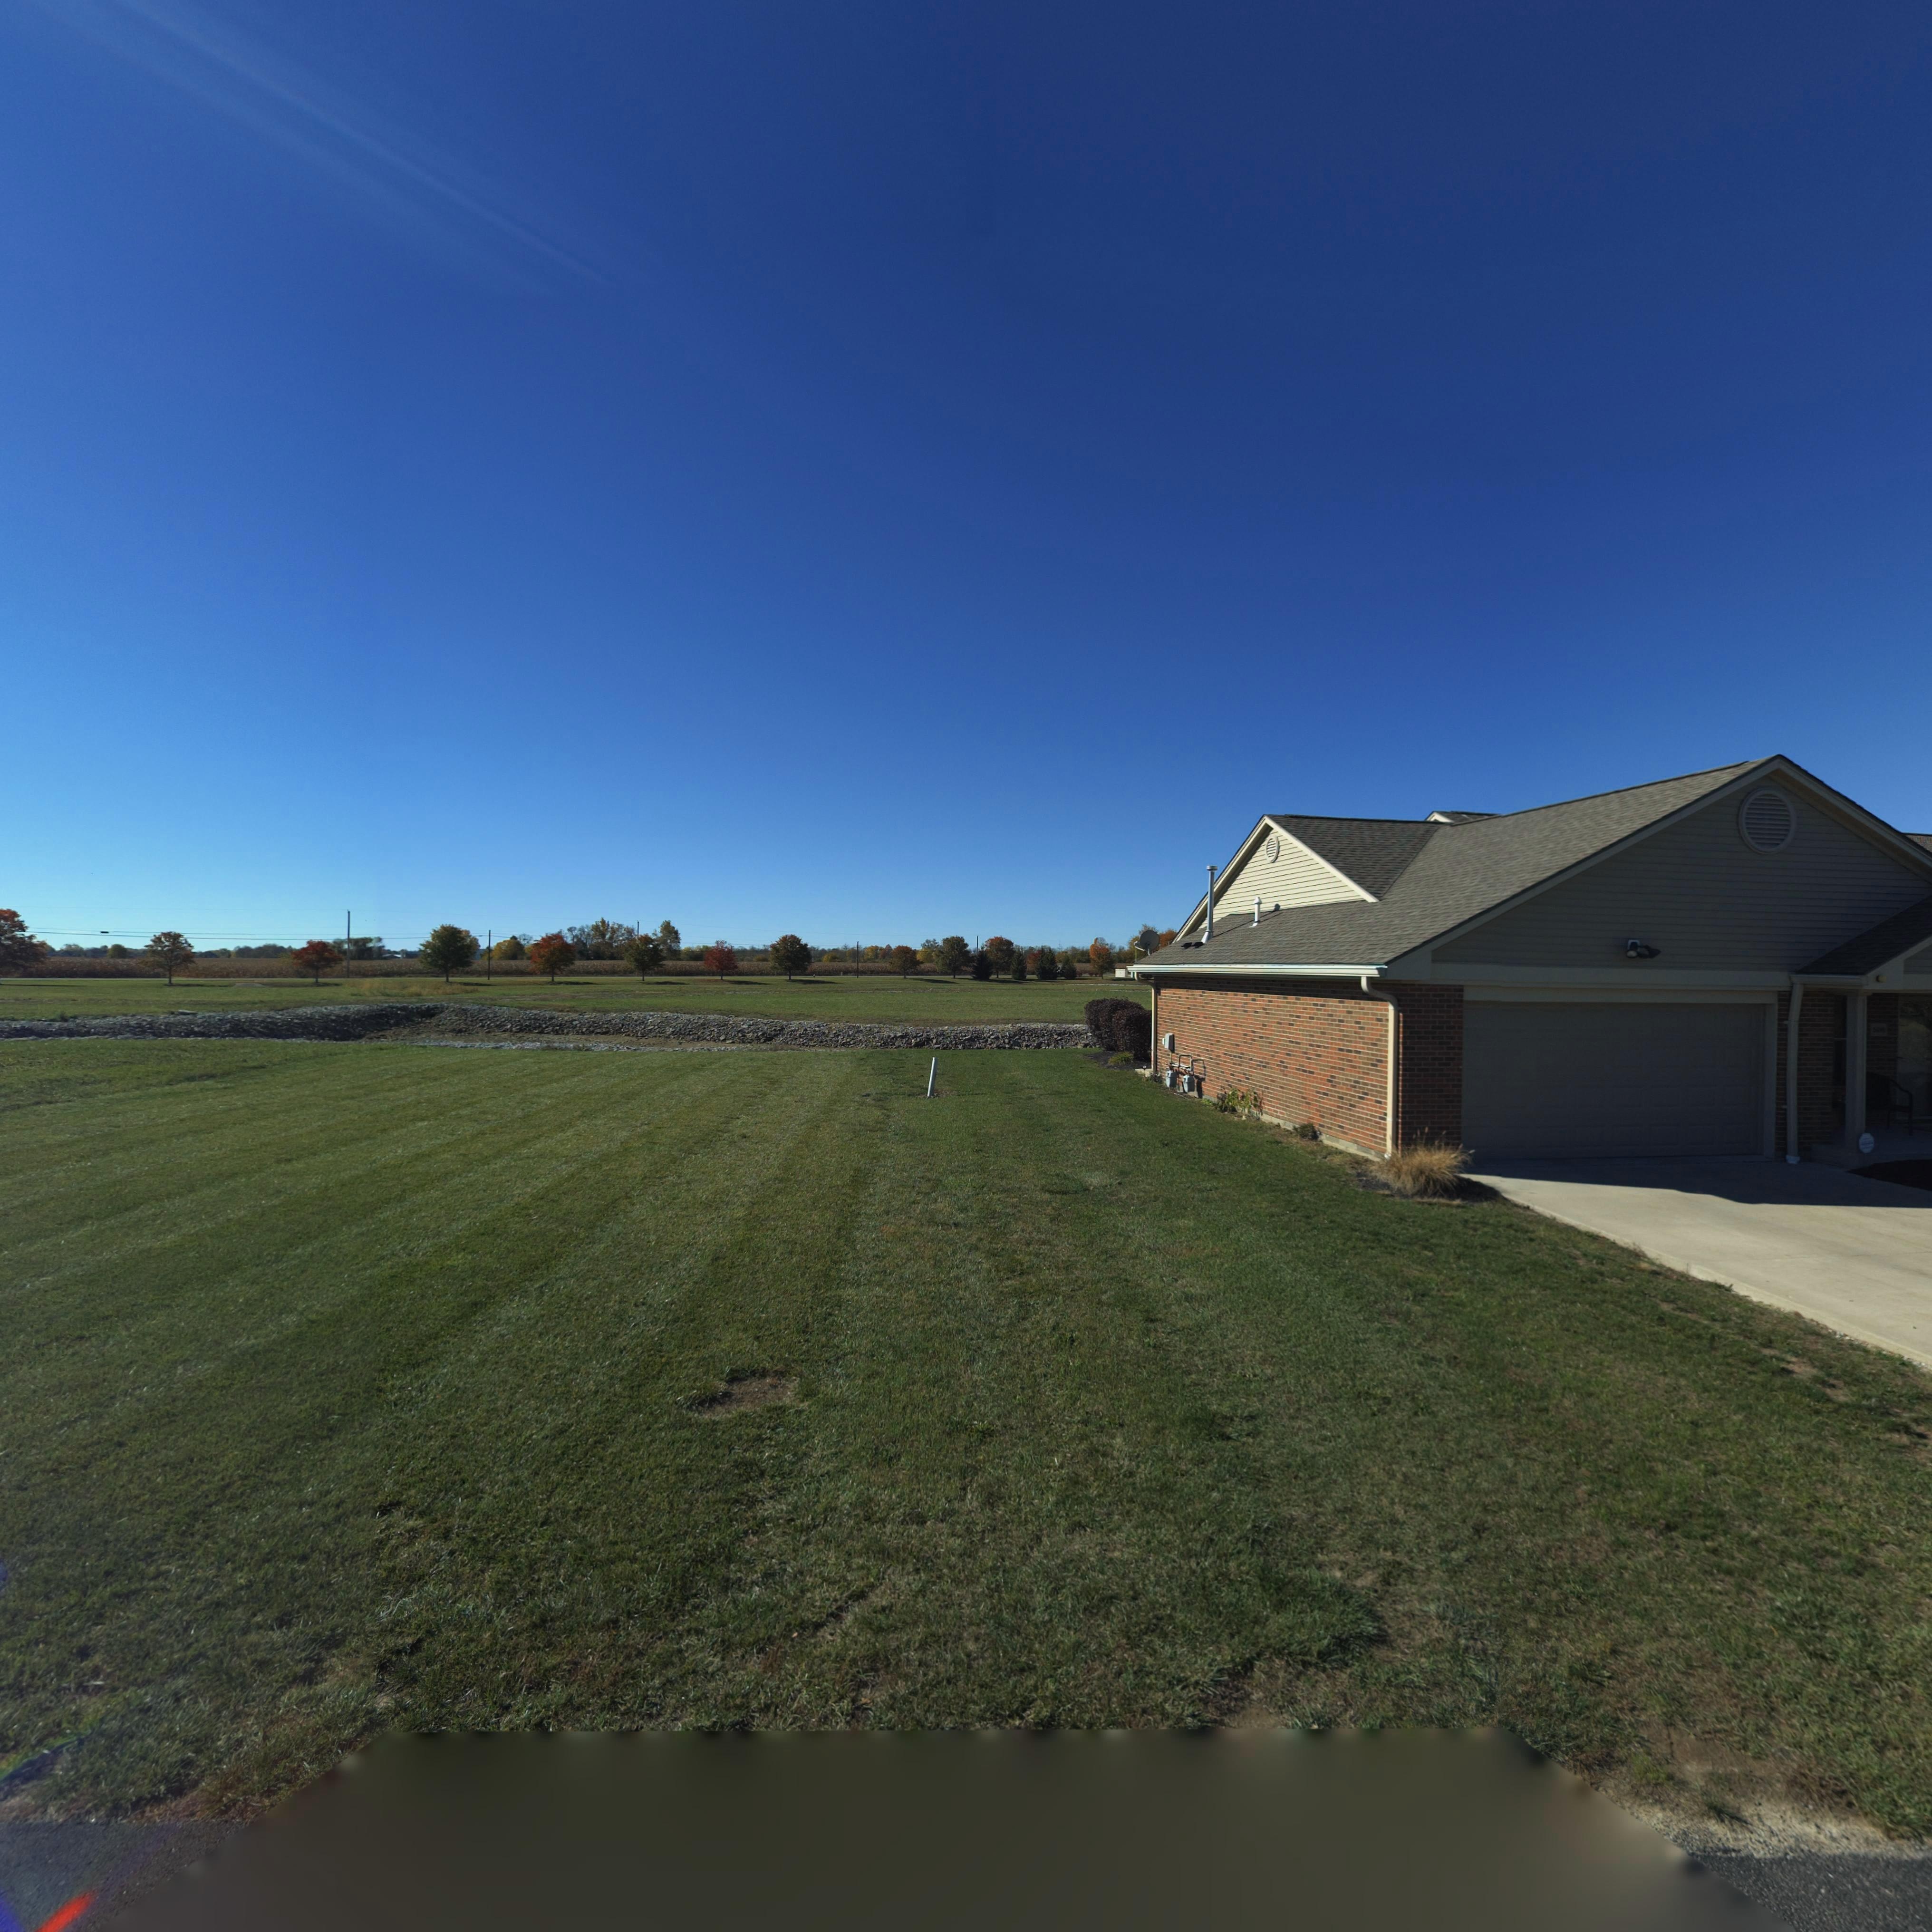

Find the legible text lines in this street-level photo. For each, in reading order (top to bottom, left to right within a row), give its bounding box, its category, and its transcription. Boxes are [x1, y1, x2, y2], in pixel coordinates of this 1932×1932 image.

[1872, 1026, 1885, 1033] StreetNumber: 50*